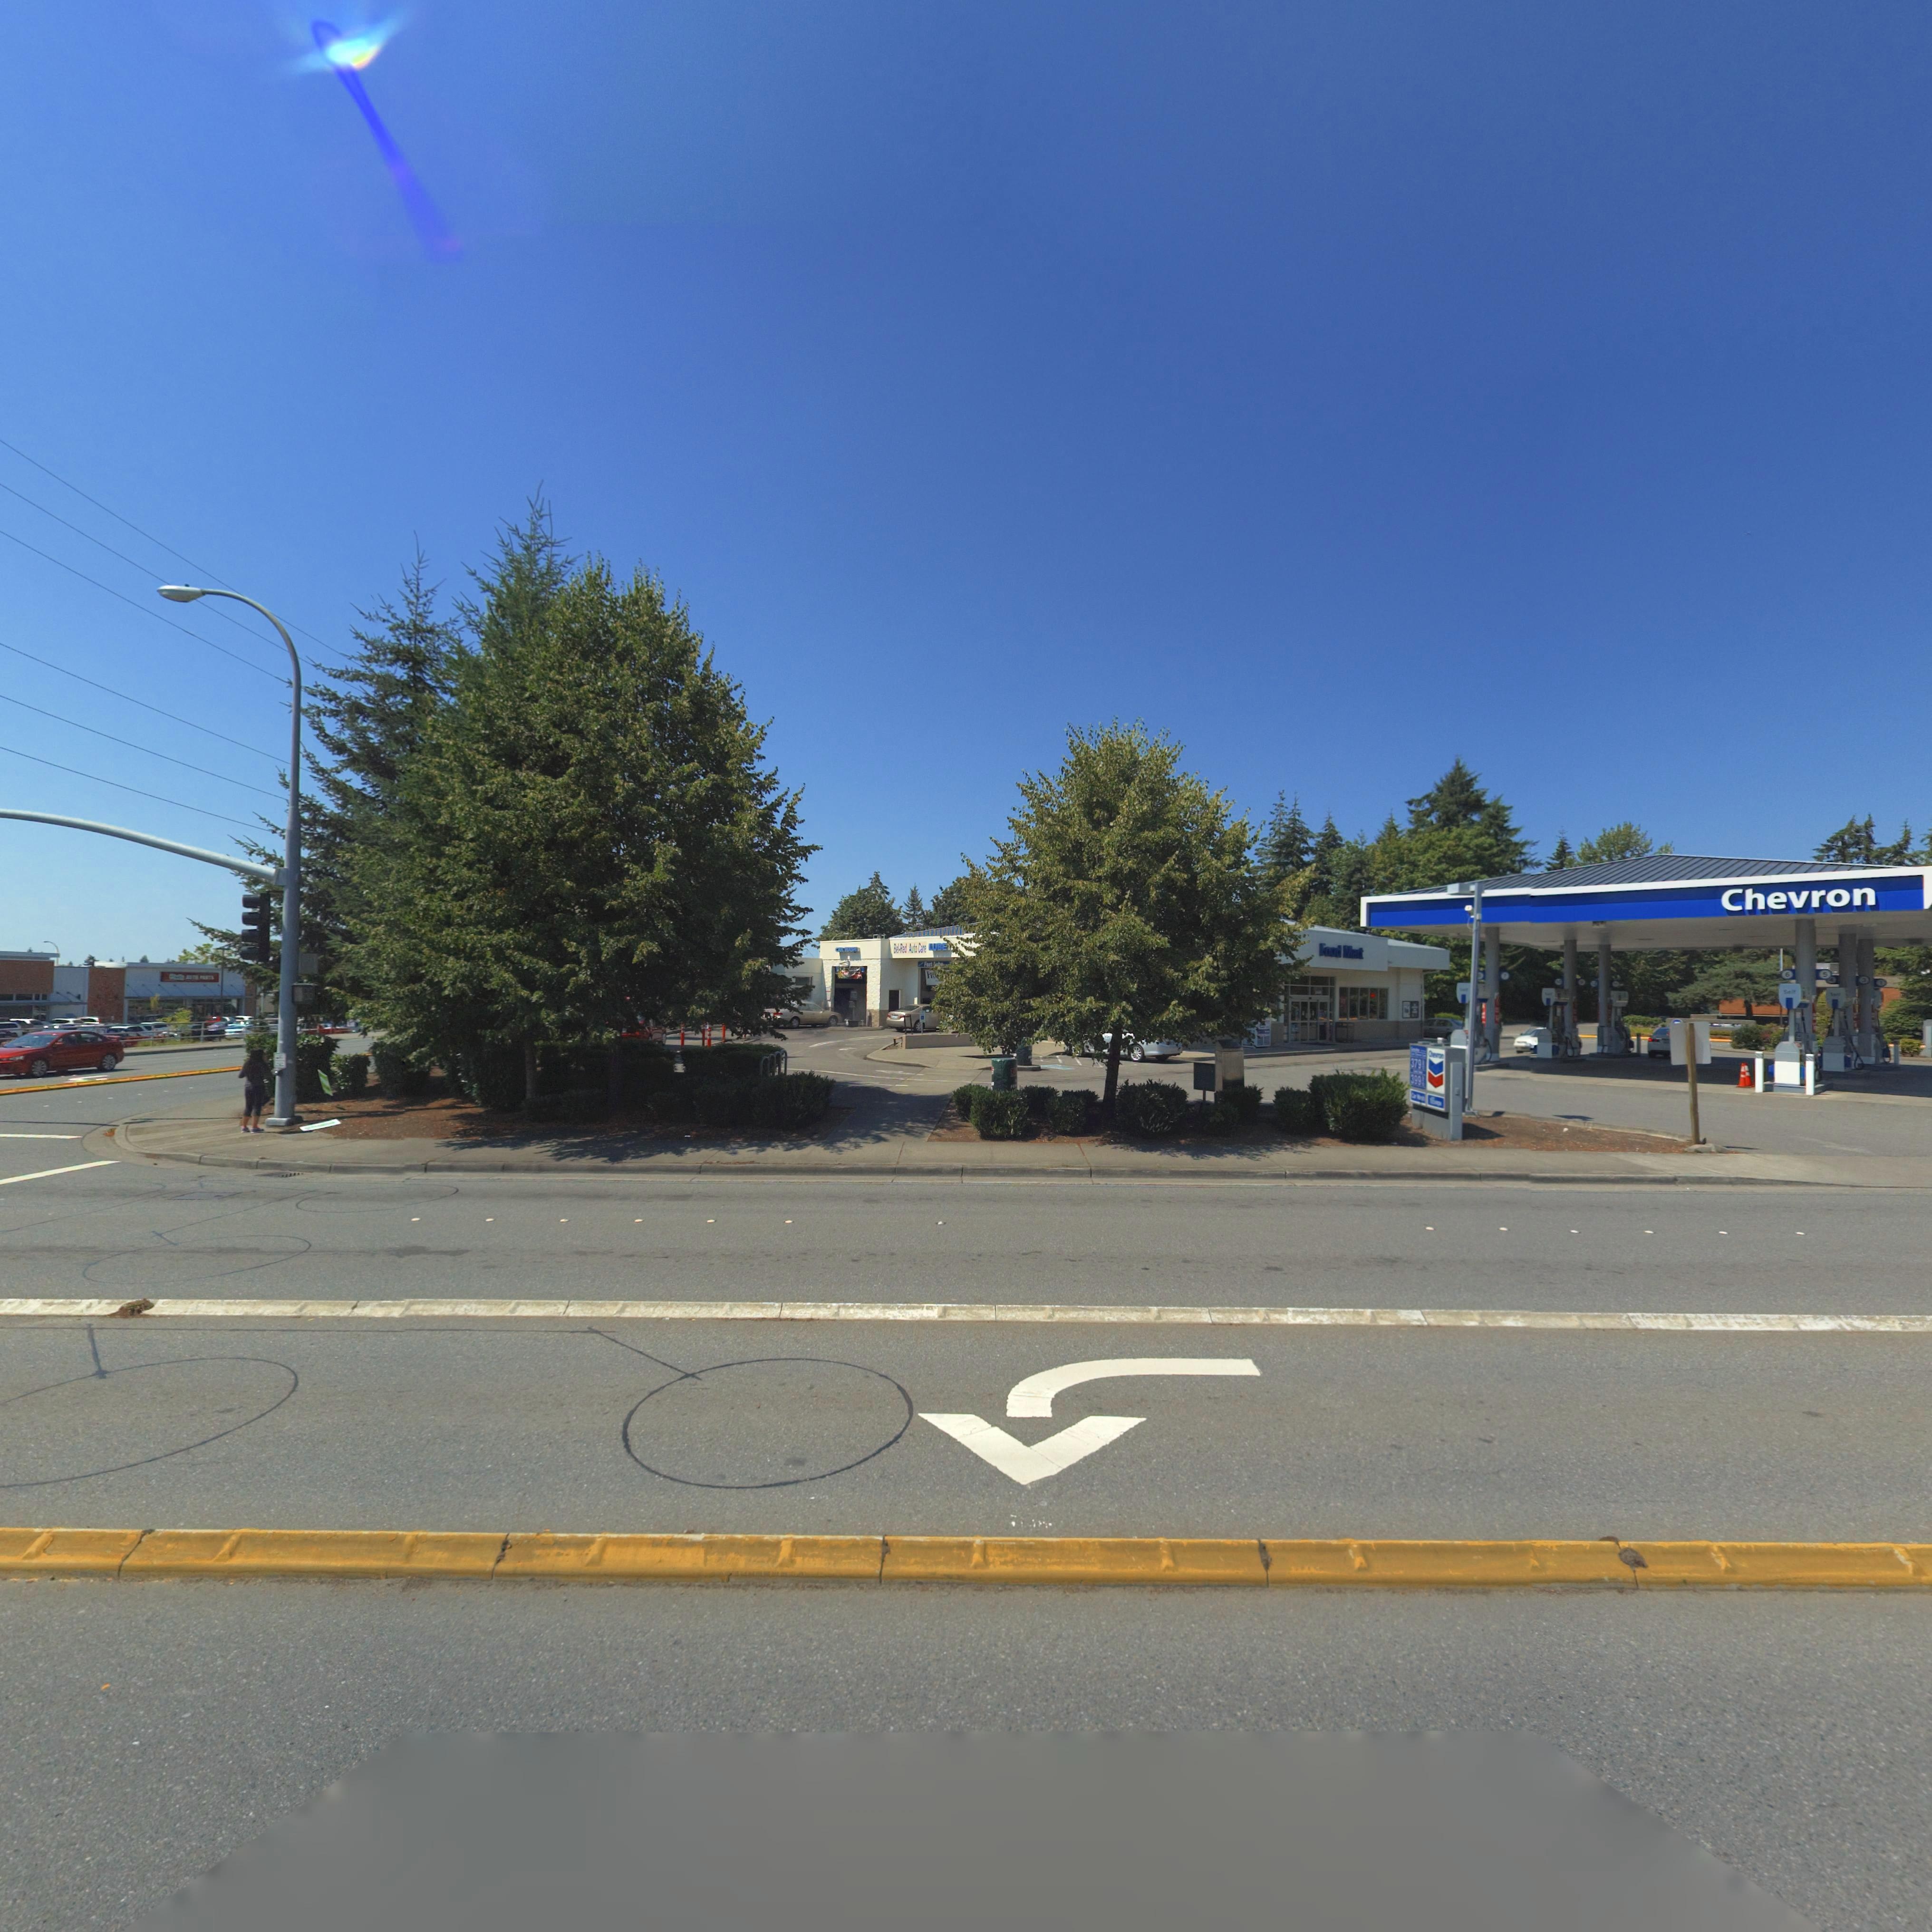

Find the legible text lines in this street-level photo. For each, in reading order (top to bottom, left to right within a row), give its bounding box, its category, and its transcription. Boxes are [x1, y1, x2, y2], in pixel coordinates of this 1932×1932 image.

[1720, 887, 1876, 911] BusinessName: Chevron
[893, 942, 926, 953] BusinessName: Bel-R*d Auto Care